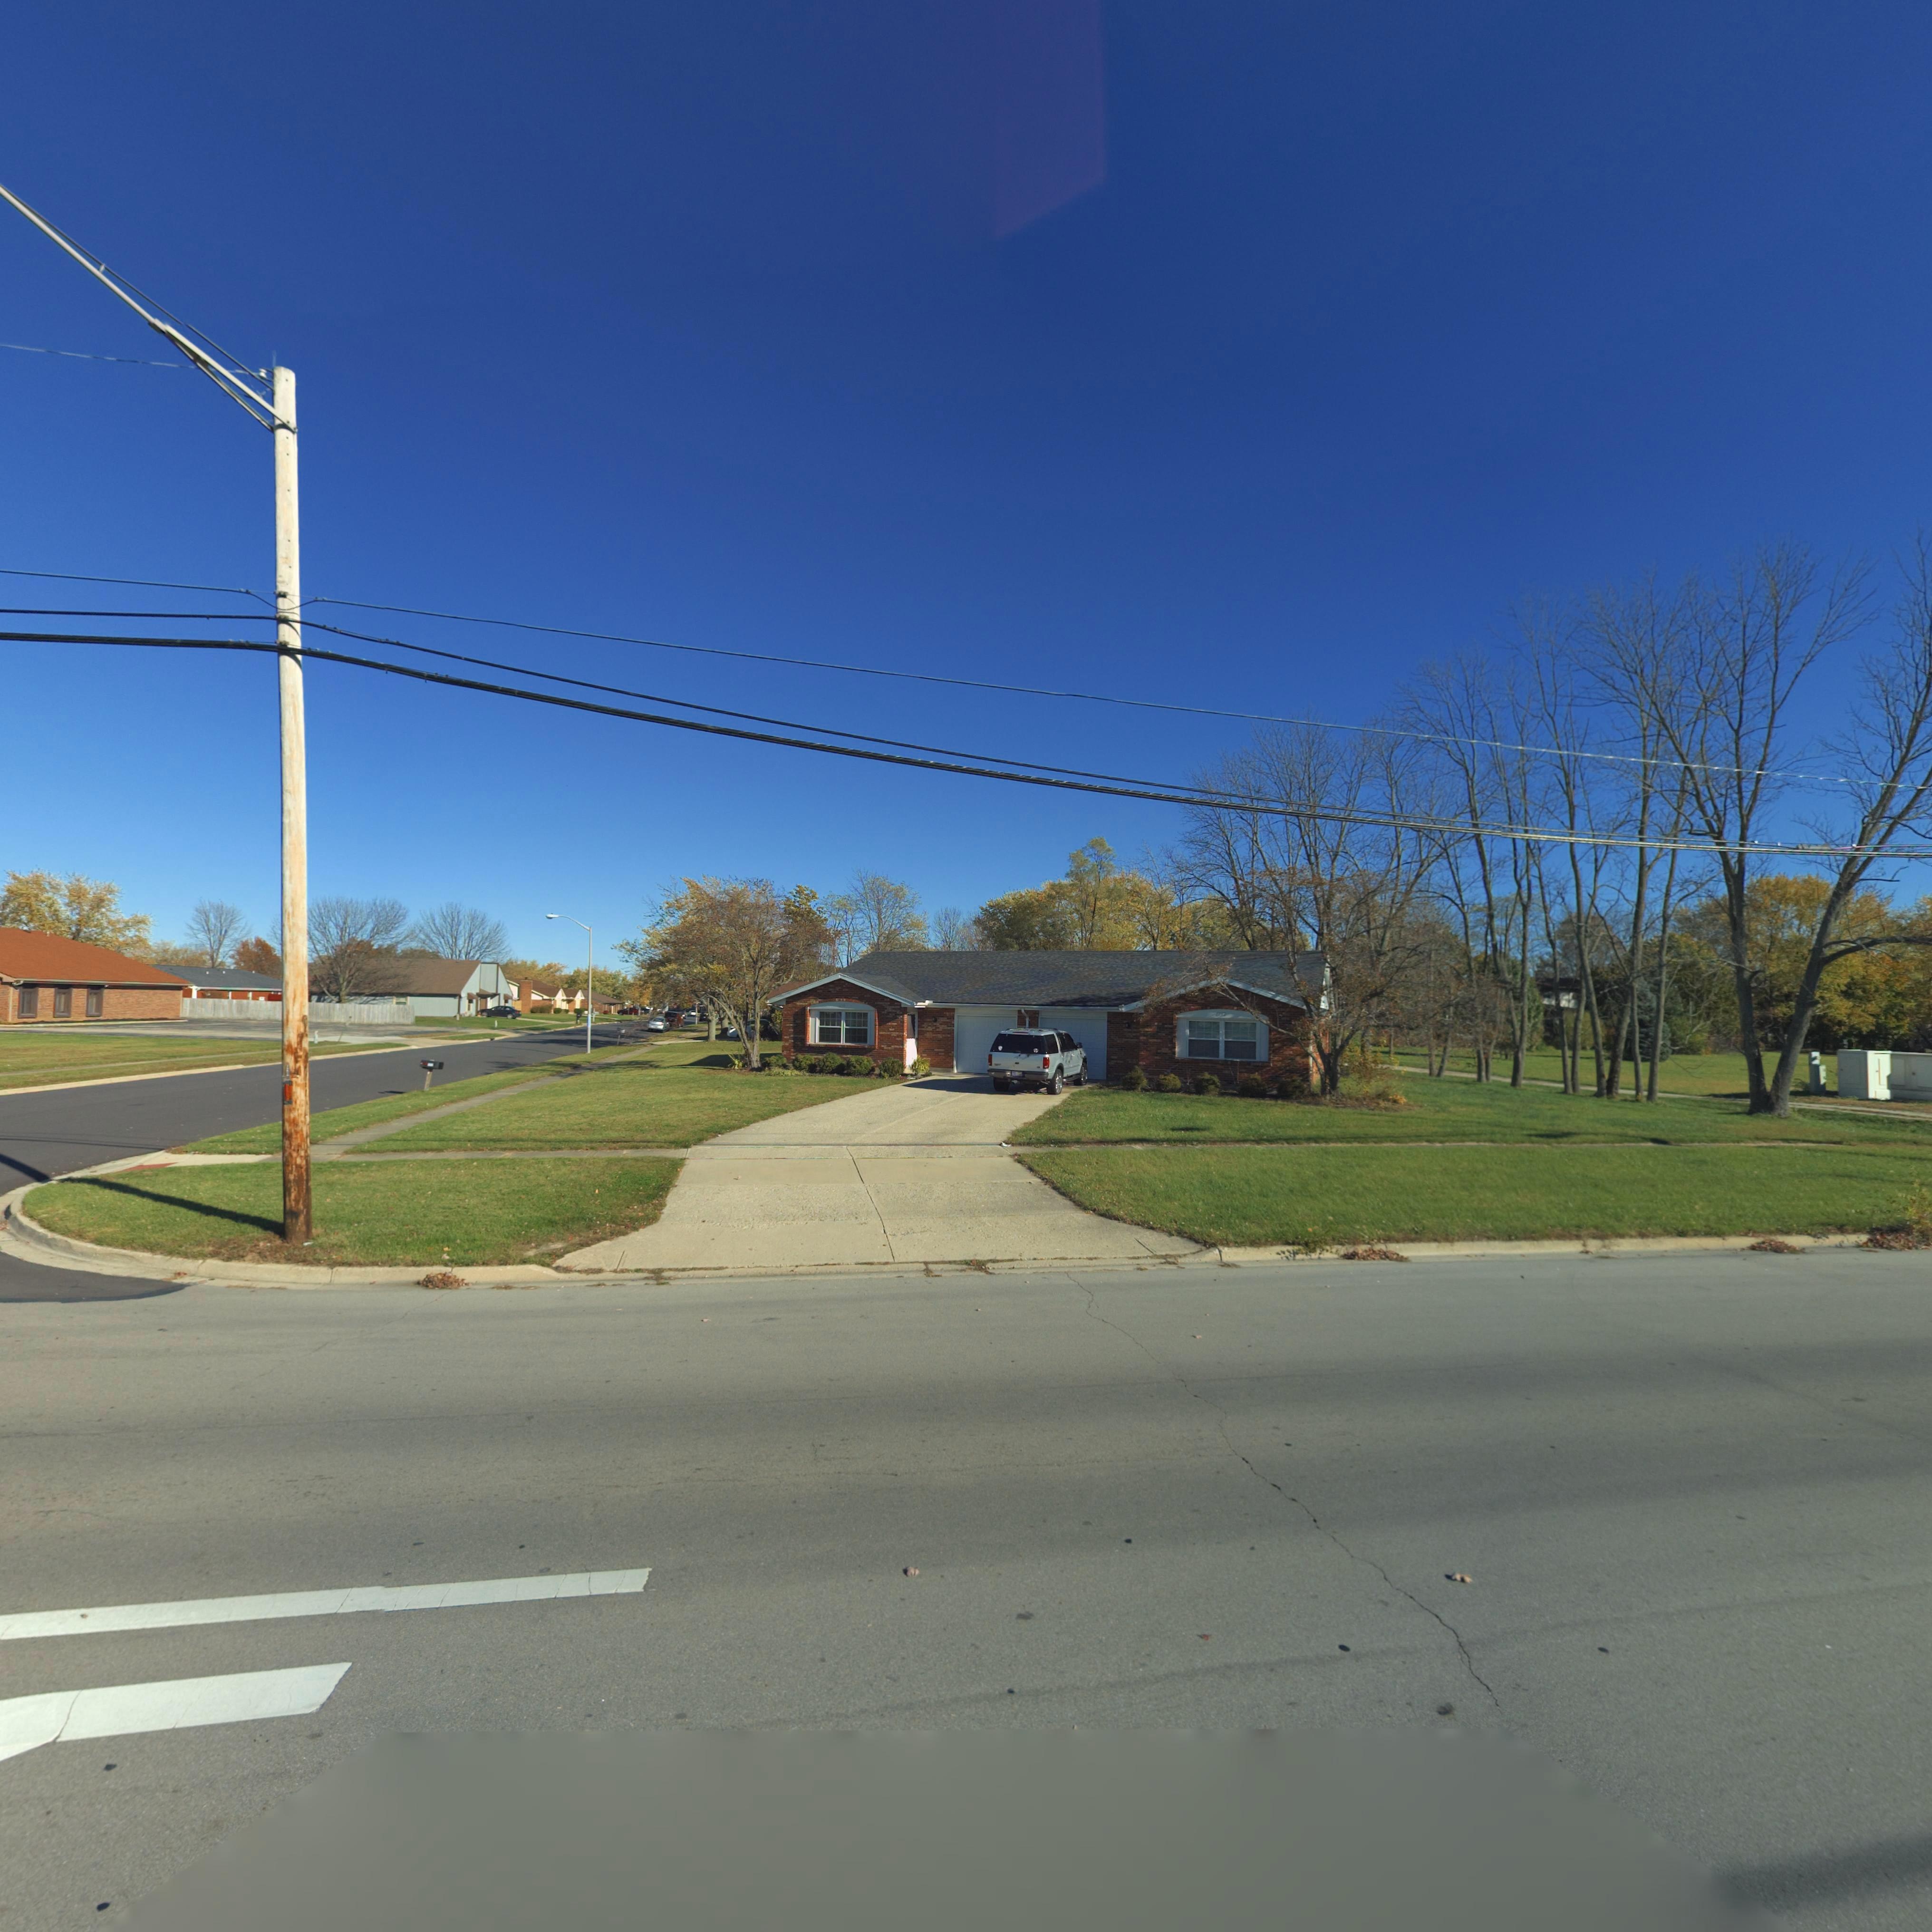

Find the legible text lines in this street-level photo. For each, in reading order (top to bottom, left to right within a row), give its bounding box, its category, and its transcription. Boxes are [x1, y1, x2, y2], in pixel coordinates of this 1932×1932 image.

[836, 1004, 845, 1007] StreetNumber: 12**
[1215, 1012, 1227, 1017] StreetNumber: 1252